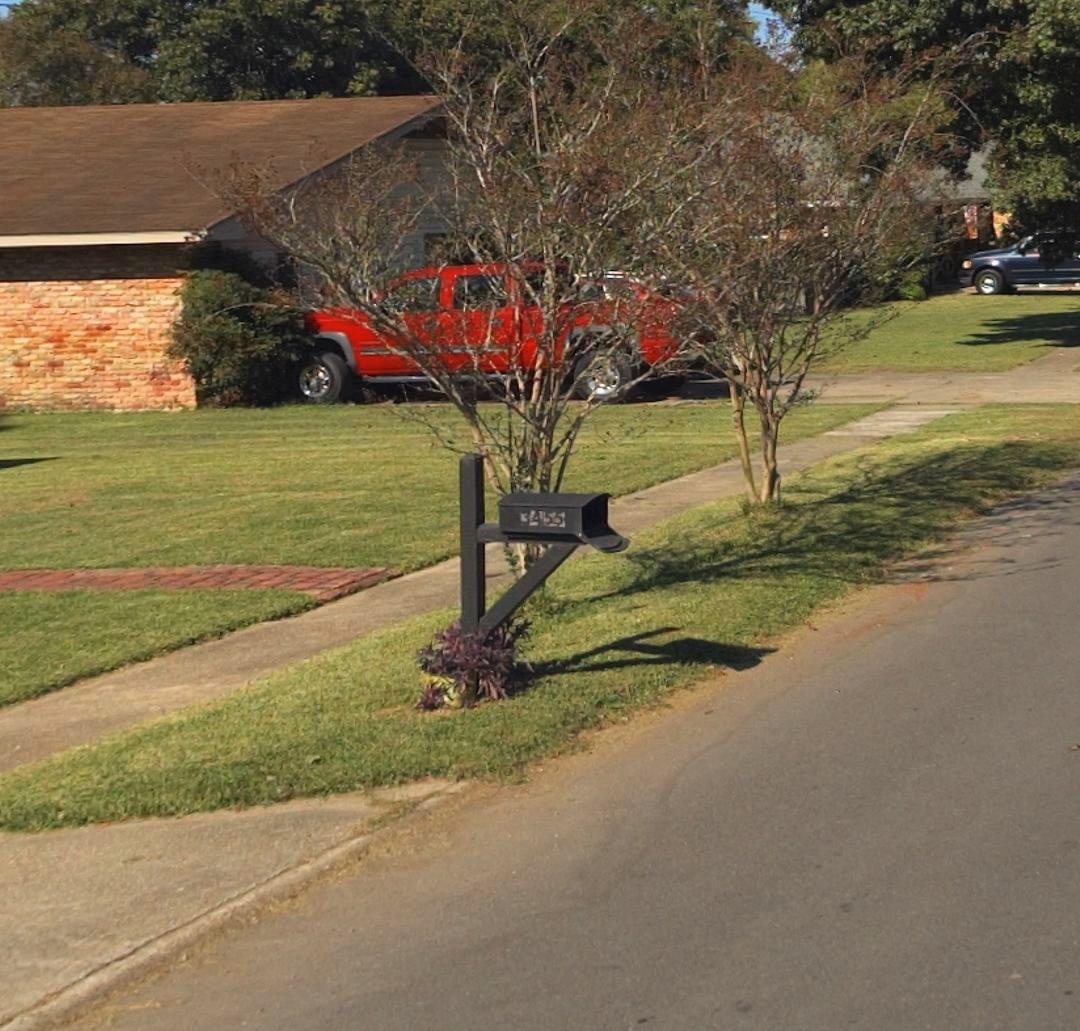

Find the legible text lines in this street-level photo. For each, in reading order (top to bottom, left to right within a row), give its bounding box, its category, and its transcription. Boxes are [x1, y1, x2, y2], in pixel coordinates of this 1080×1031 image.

[520, 510, 564, 526] StreetNumber: 3455